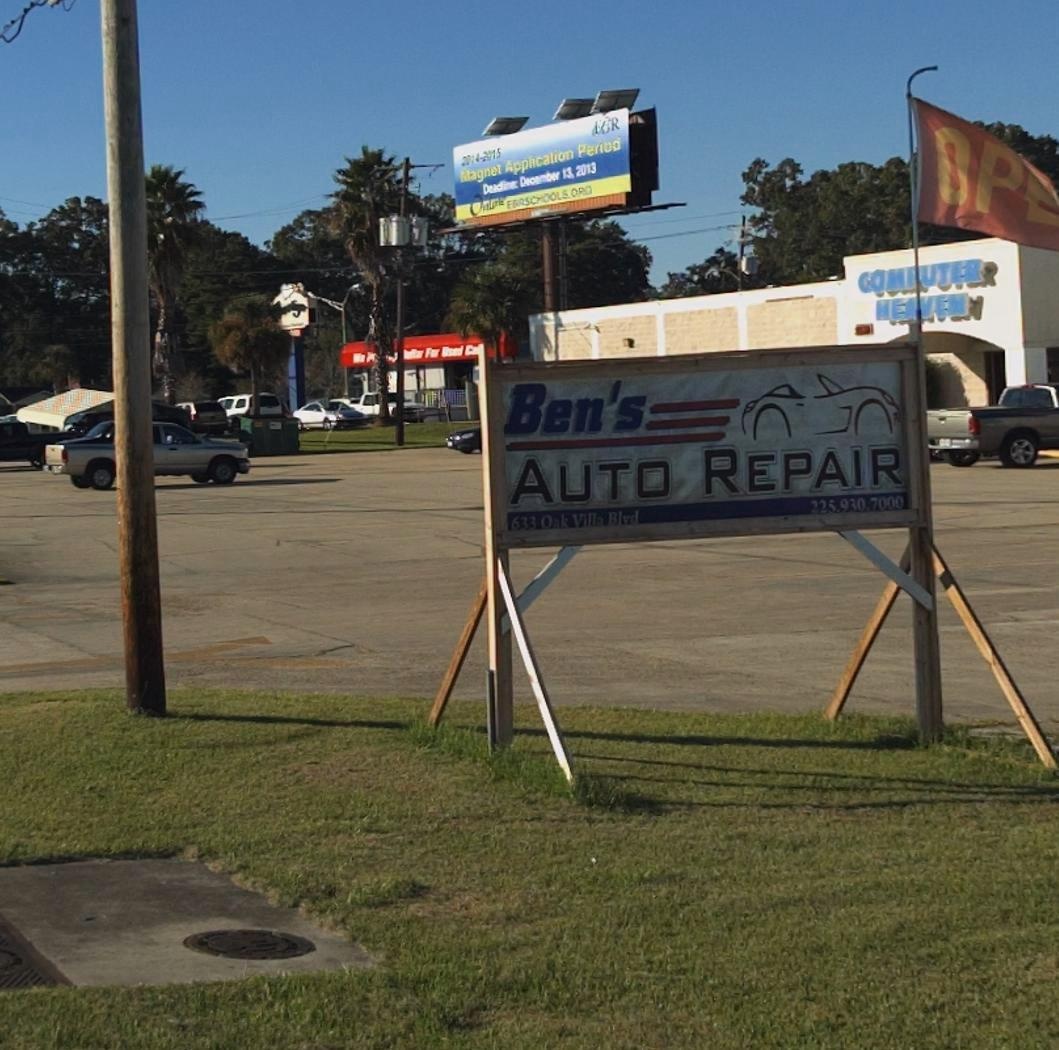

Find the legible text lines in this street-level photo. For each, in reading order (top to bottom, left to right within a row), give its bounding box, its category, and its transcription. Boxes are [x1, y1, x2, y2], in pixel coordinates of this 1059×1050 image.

[608, 114, 623, 134] None: R
[467, 191, 486, 220] None: O
[458, 143, 504, 169] None: 2014-2015
[480, 181, 491, 198] None: D
[517, 173, 528, 191] None: D
[458, 132, 623, 186] None: Magnet Application Period
[503, 181, 597, 214] None: E**SCHOOLS.O**
[560, 159, 600, 183] None: 13, 2013
[930, 123, 1028, 217] None: OP
[854, 256, 987, 297] BusinessName: COM*UTER
[873, 289, 969, 323] BusinessName: HE*VEN
[500, 376, 651, 438] BusinessName: Ben's
[506, 445, 906, 507] BusinessName: AUTO REPAIR
[509, 513, 539, 533] StreetNumber: 633
[539, 507, 642, 532] None: Oak Villa Blvd
[808, 492, 907, 518] None: 225.930.7000